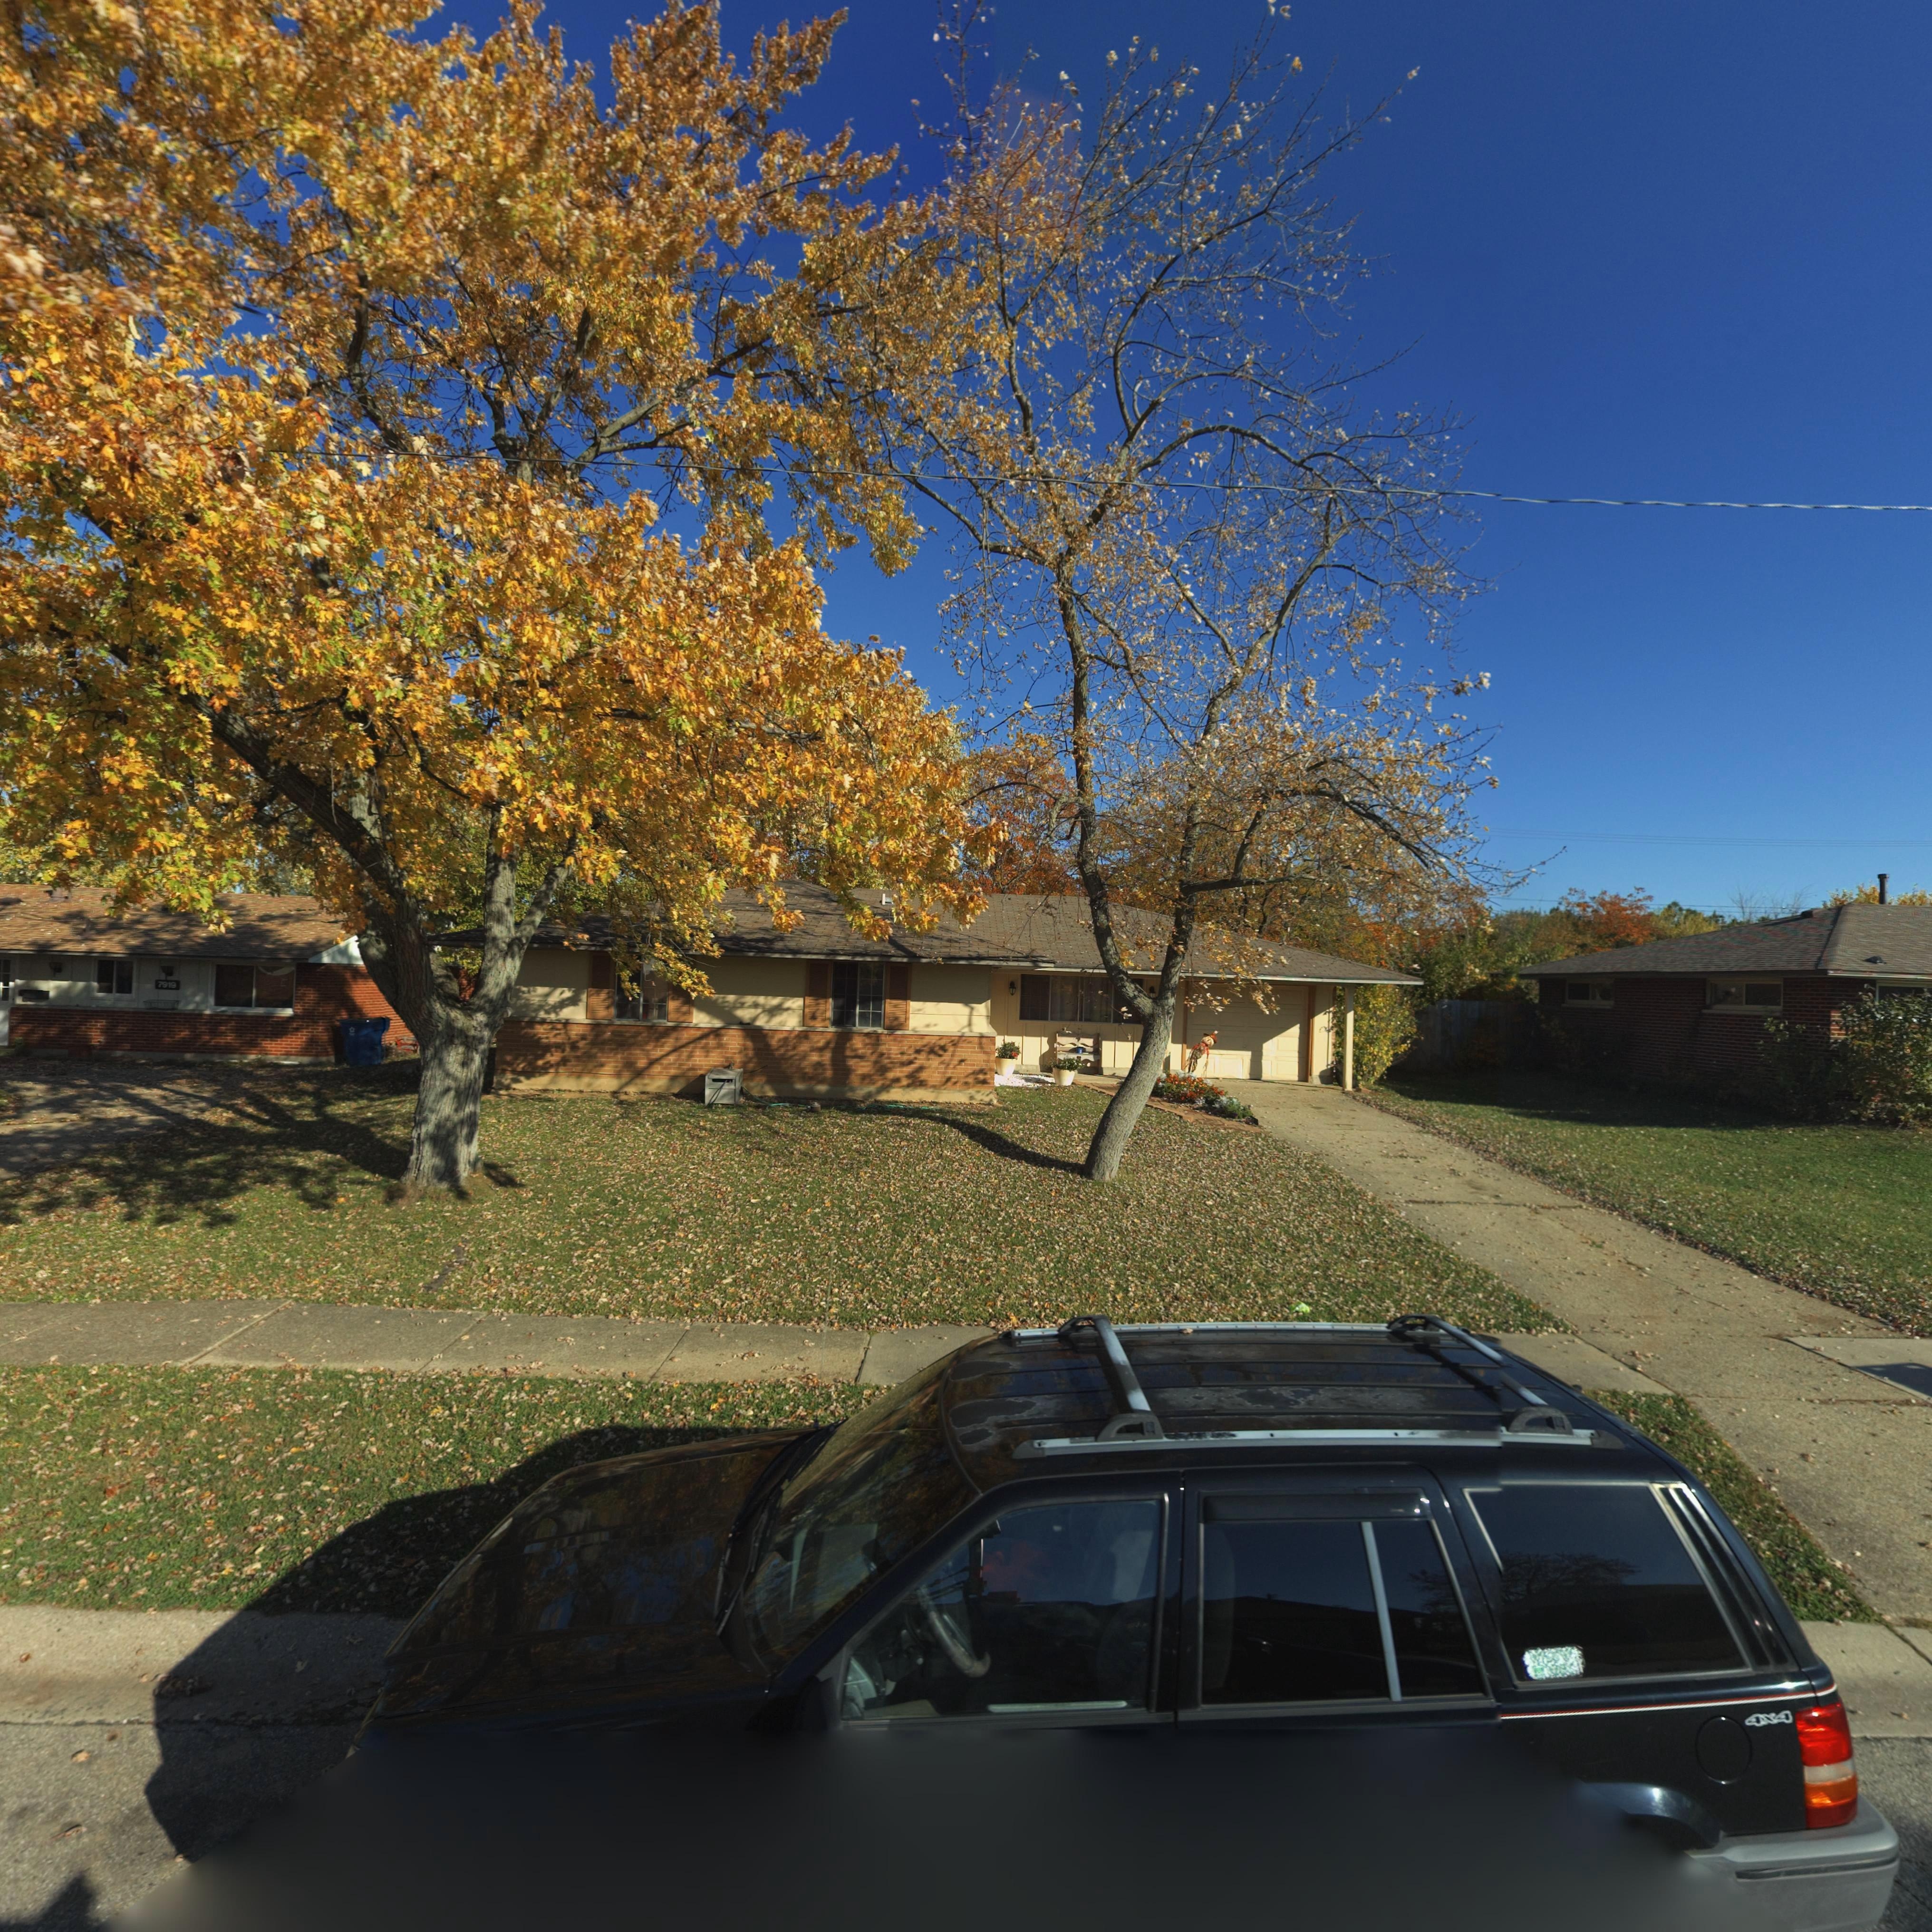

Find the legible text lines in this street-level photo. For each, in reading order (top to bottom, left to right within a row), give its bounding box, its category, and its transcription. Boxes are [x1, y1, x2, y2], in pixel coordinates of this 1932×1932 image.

[157, 980, 177, 989] StreetNumber: 7919